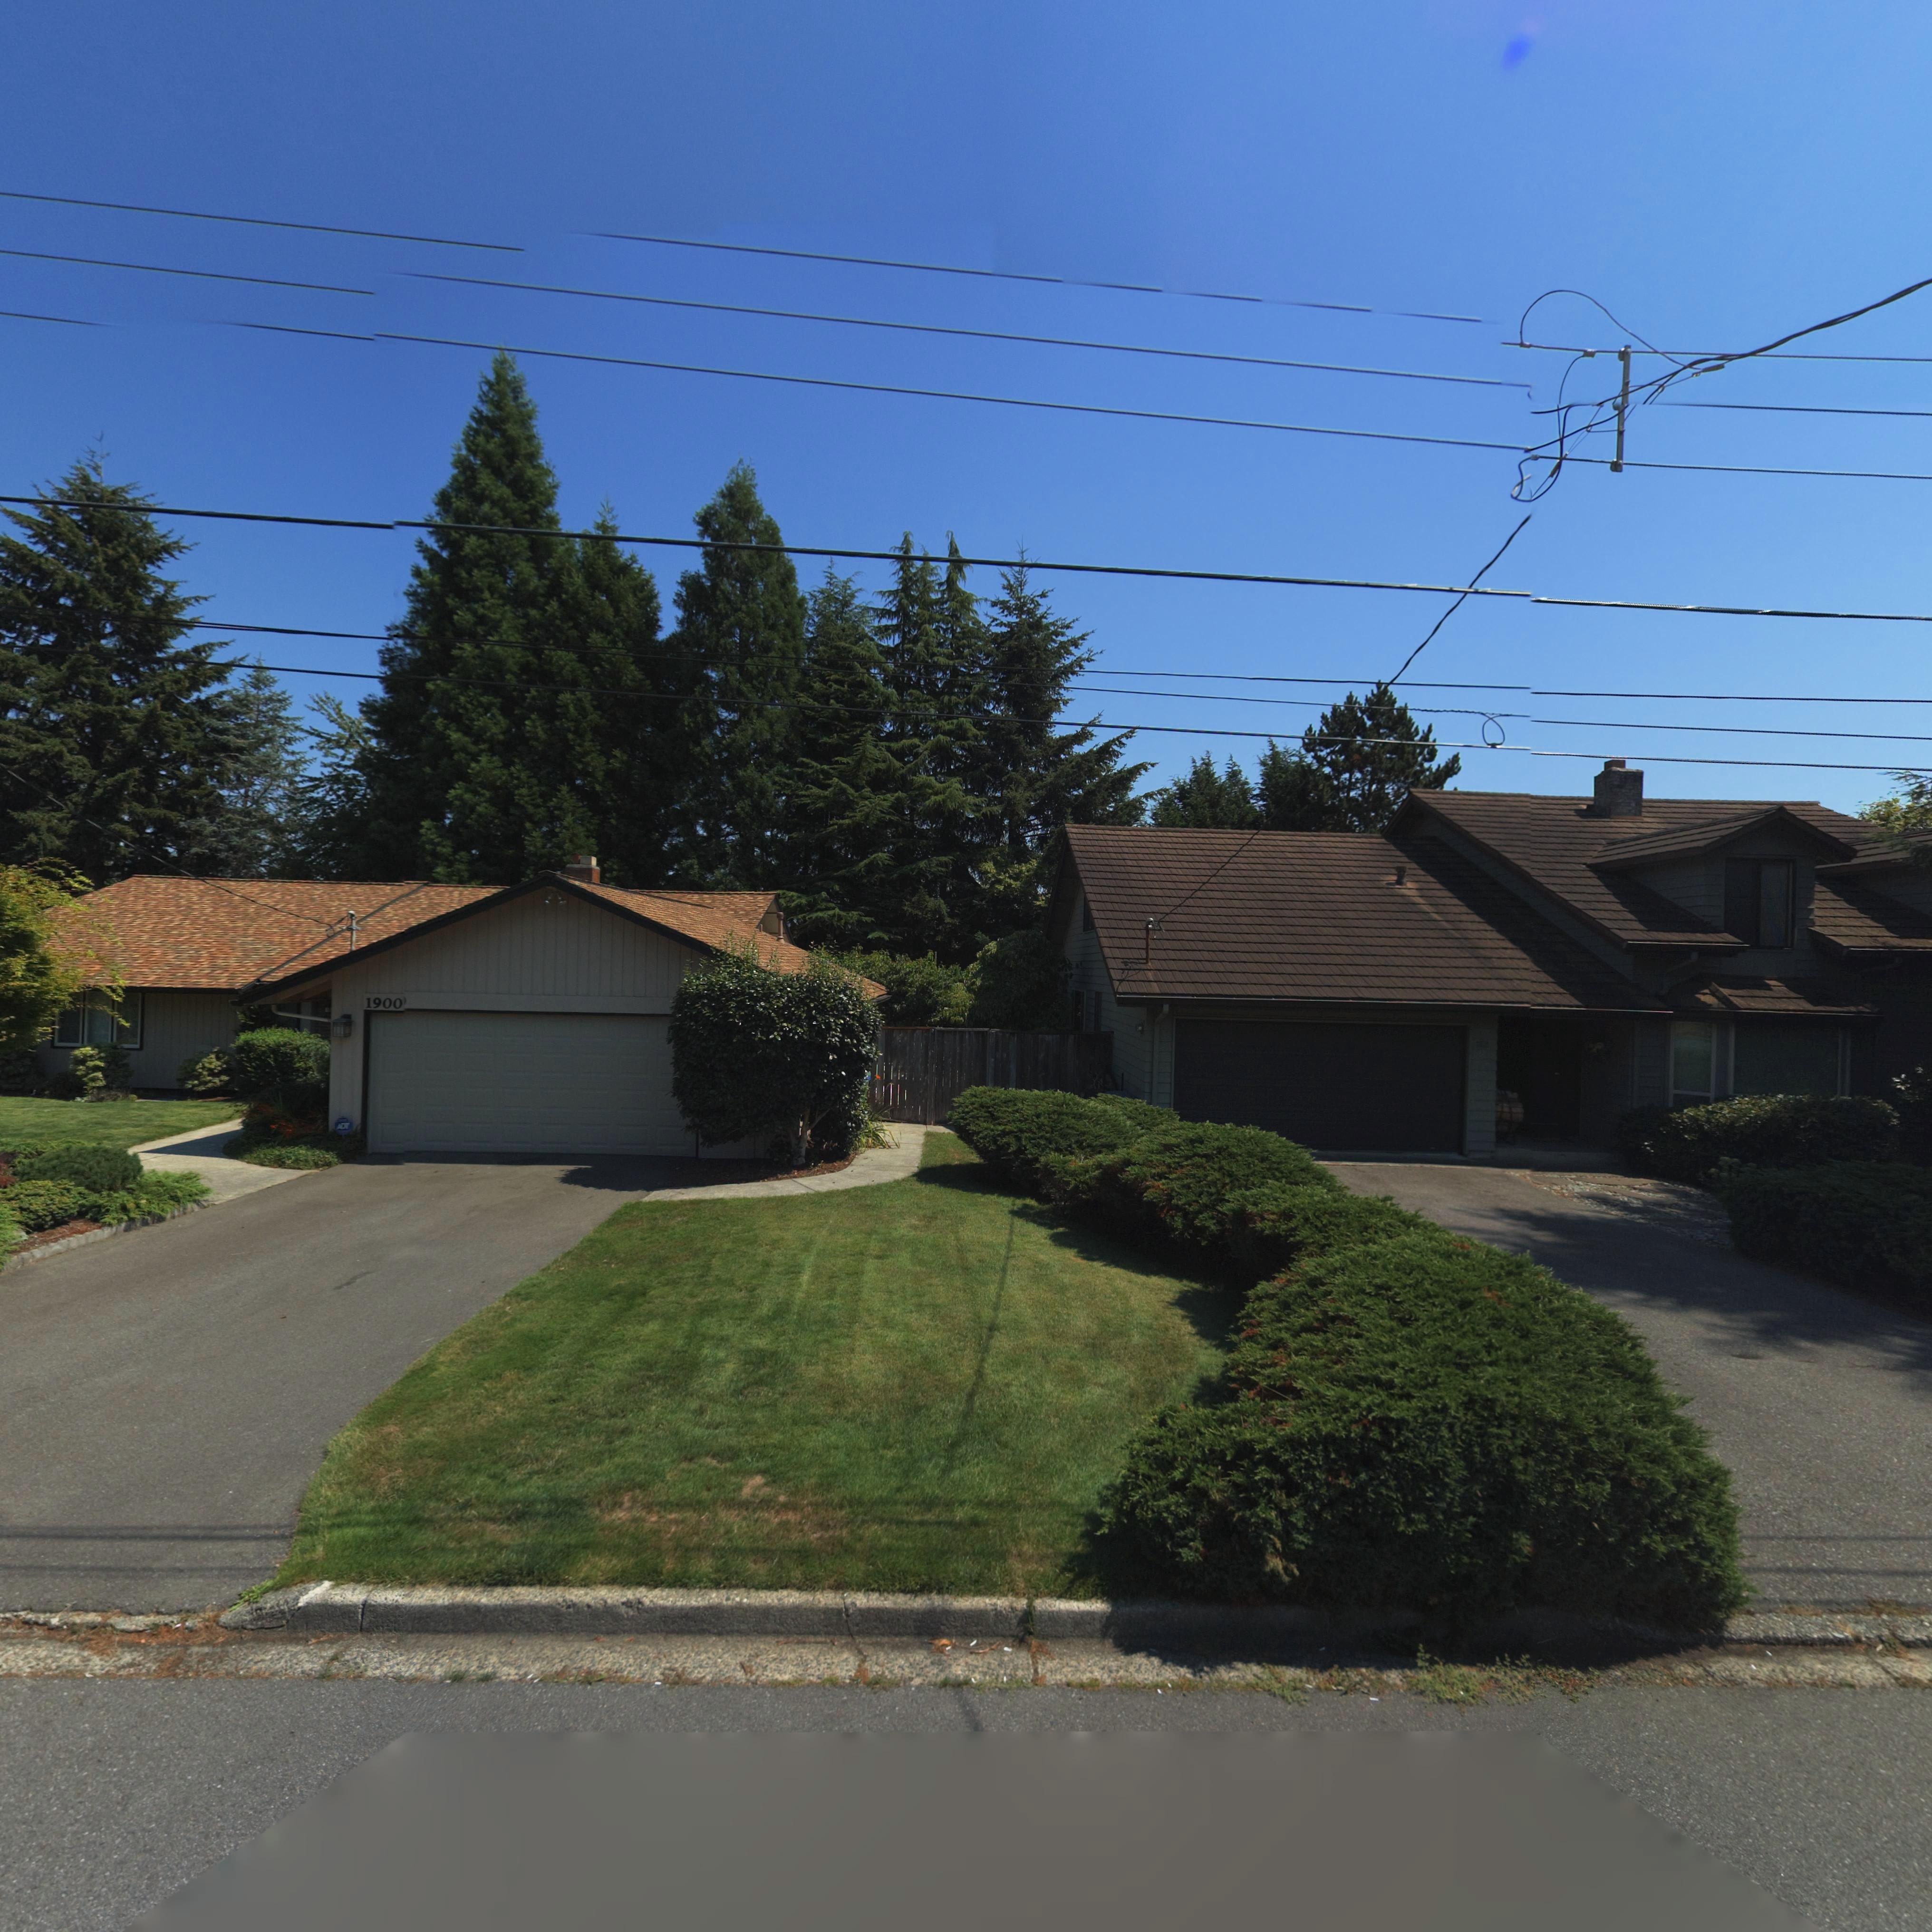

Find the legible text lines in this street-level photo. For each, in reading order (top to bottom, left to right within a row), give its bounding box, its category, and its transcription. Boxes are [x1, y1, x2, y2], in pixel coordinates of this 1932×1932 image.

[366, 997, 402, 1008] StreetNumber: 1900